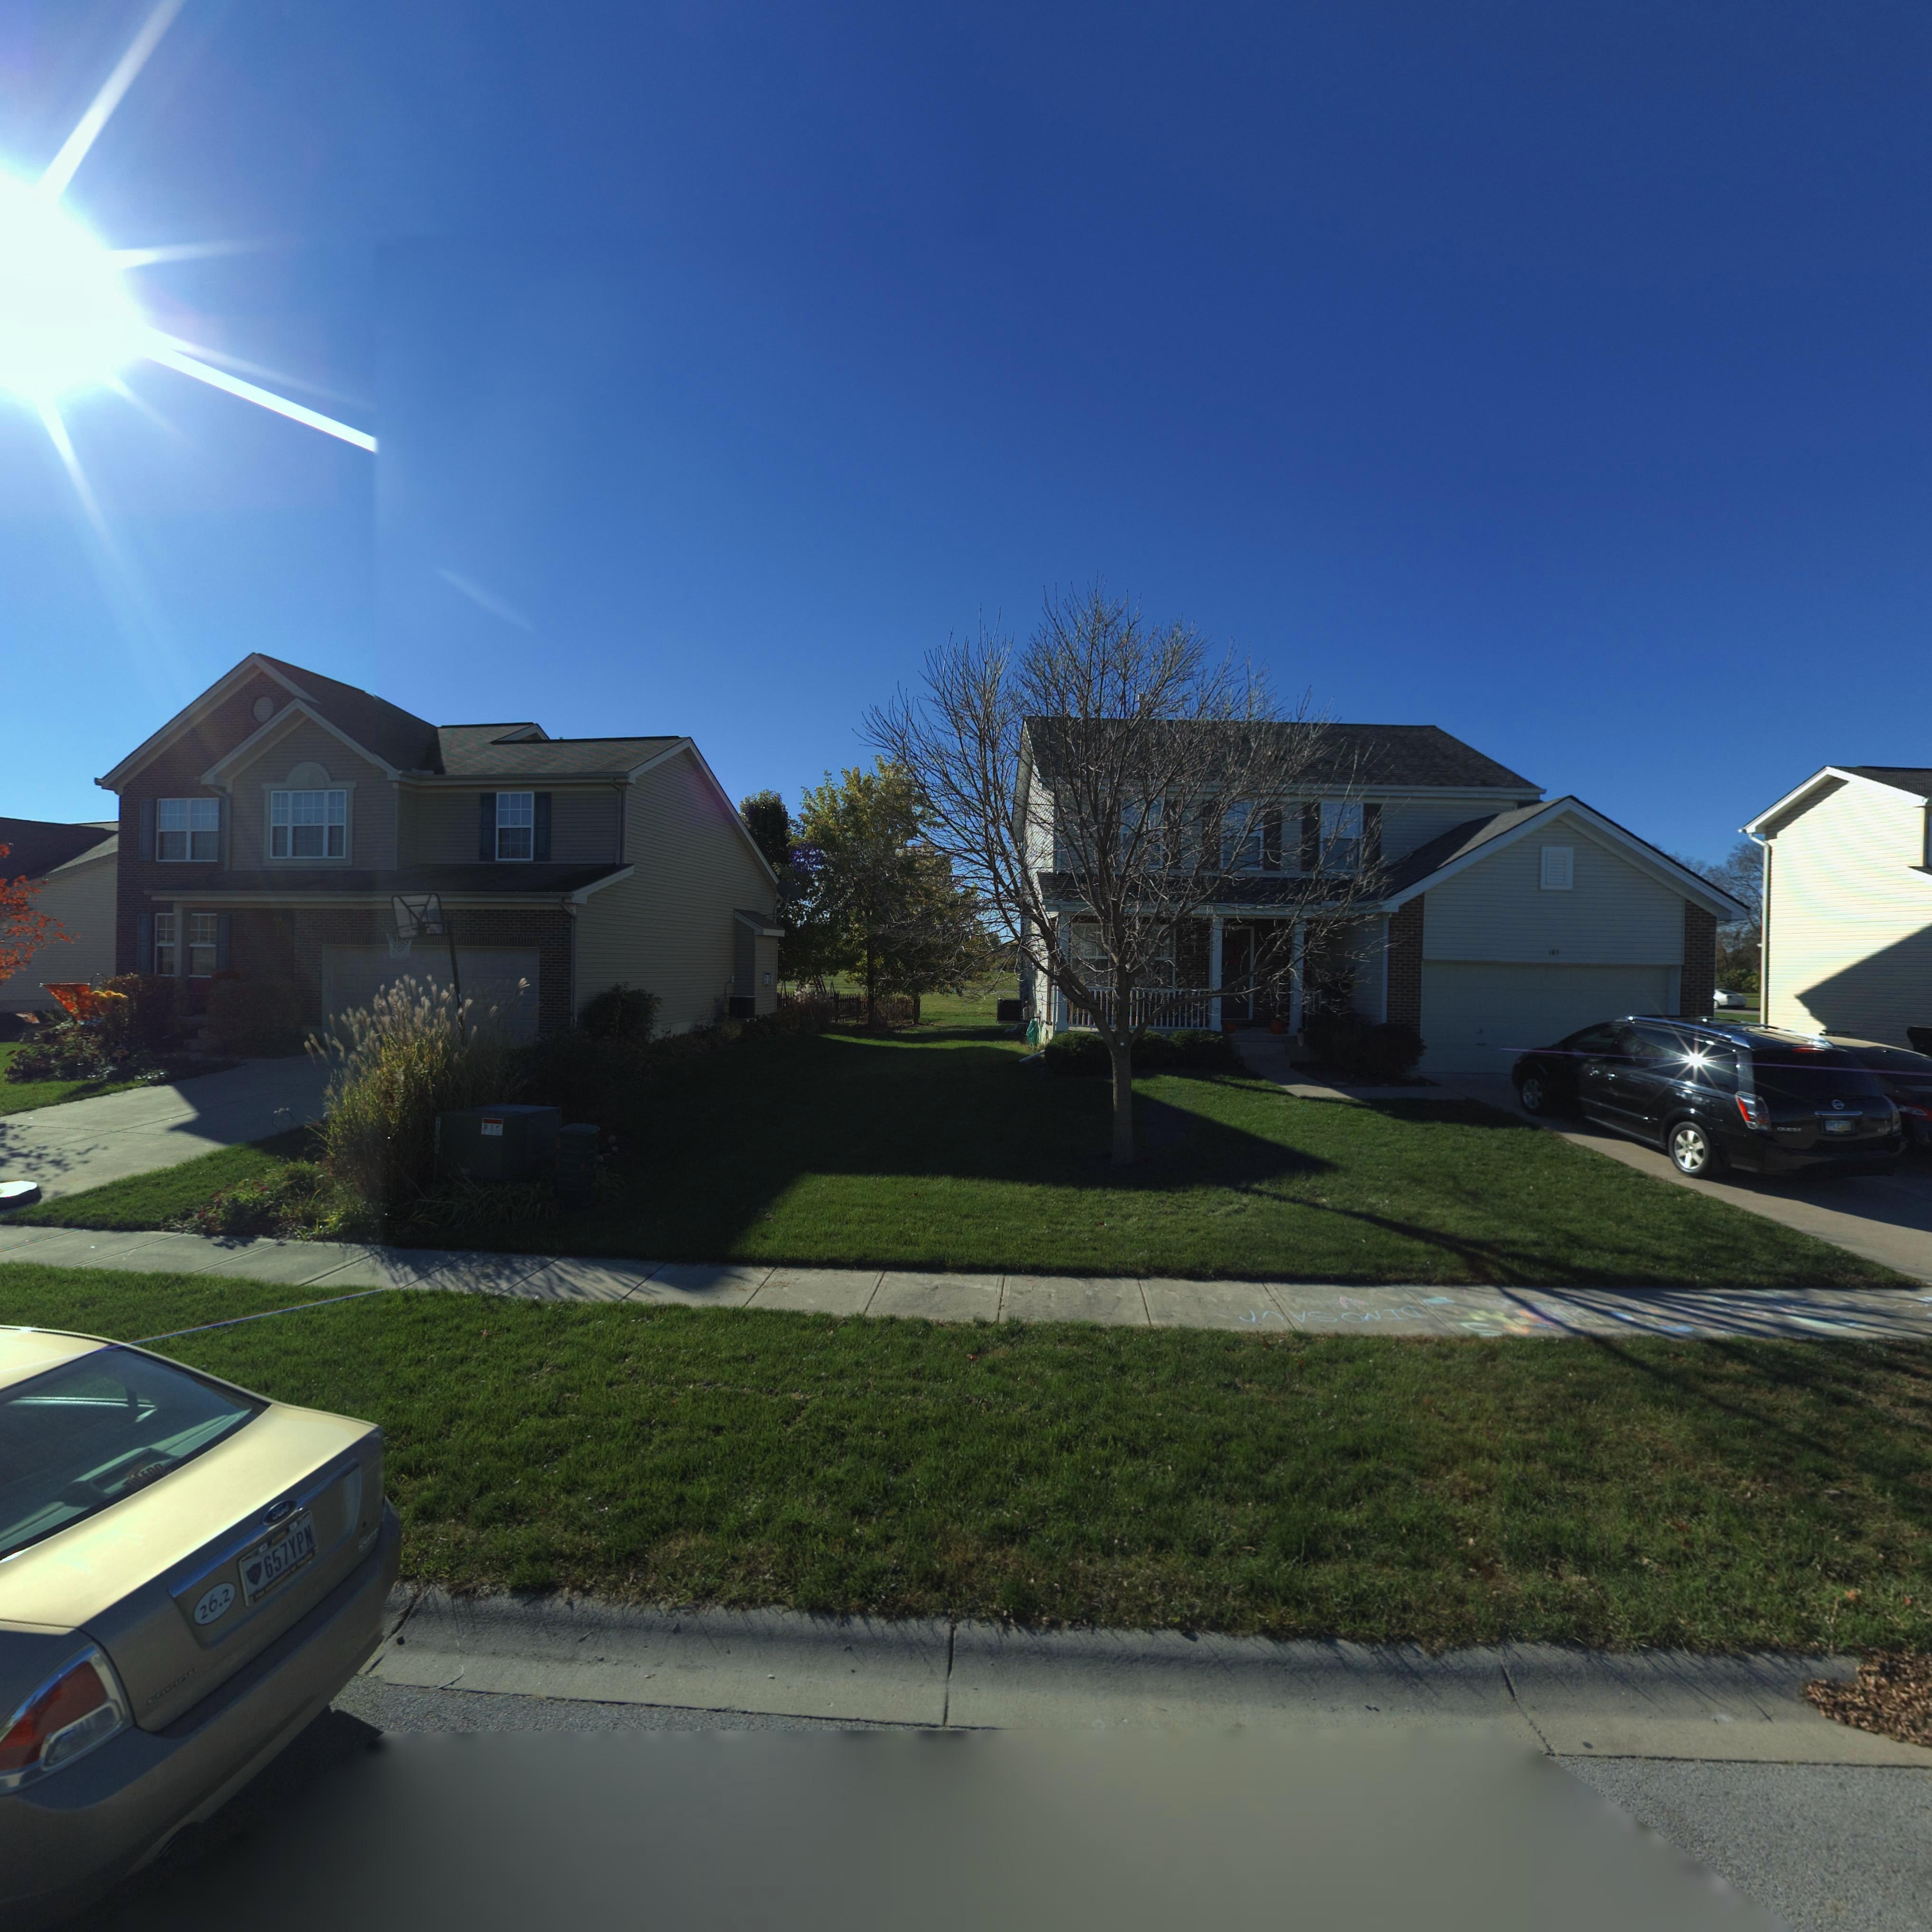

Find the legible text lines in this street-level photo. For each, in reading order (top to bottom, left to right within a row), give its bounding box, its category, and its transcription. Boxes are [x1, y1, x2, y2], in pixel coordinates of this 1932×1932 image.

[1547, 948, 1560, 956] StreetNumber: 185